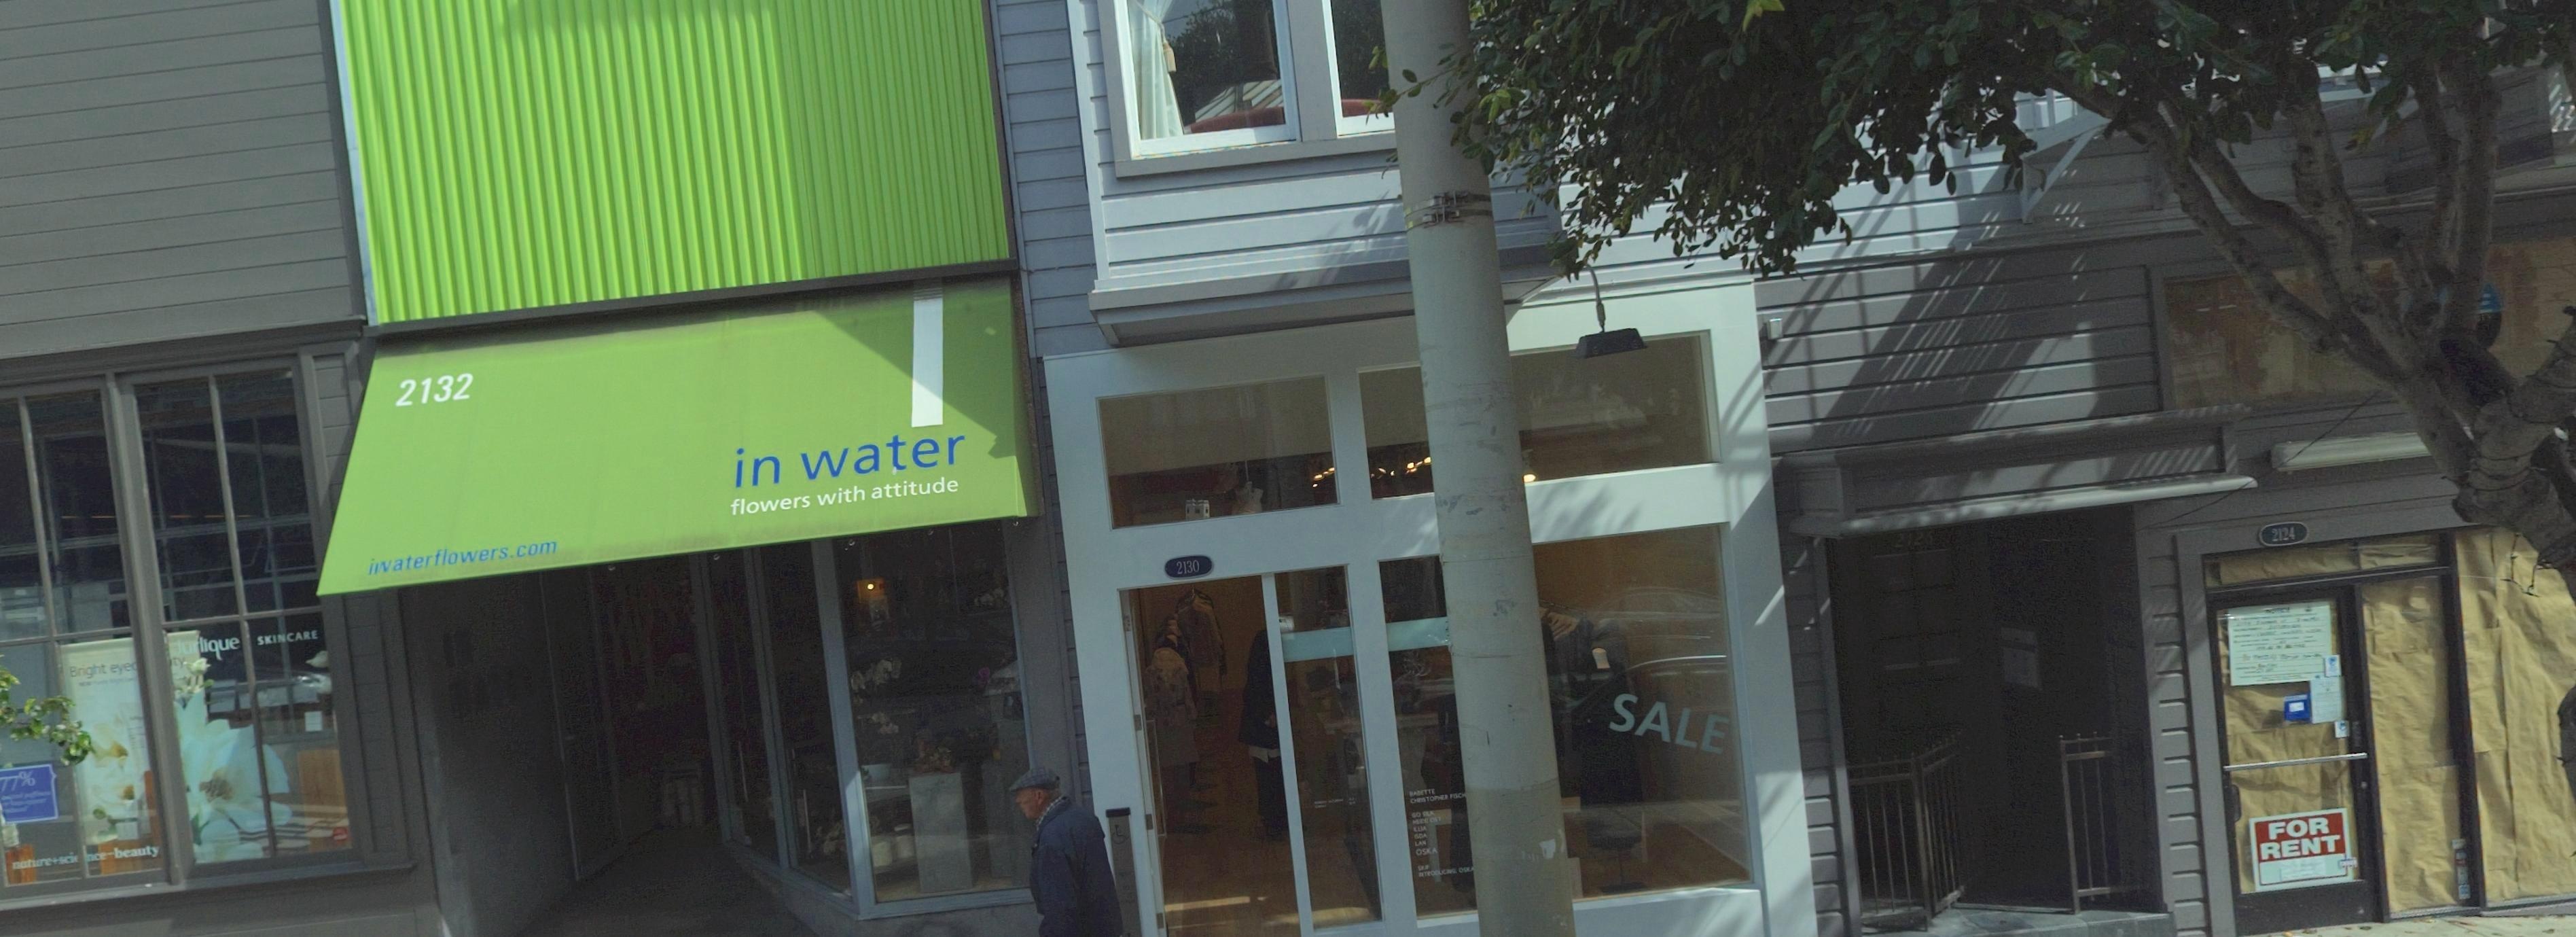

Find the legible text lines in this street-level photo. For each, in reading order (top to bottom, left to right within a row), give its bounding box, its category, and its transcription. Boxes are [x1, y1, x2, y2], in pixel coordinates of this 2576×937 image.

[391, 371, 476, 410] StreetNumber: 2132
[731, 430, 969, 494] BusinessName: in water
[728, 474, 961, 520] None: flowers with attitude
[1891, 526, 1936, 551] StreetNumber: 2126
[2270, 524, 2297, 544] StreetNumber: 2124
[366, 538, 558, 578] None: i**aterflowers.com
[1175, 558, 1201, 577] StreetNumber: 2130
[255, 628, 321, 648] None: SKINCARE
[170, 635, 243, 663] None: Jurlique
[67, 660, 134, 681] BusinessName: Bright eye
[170, 654, 187, 671] BusinessName: ty
[1605, 689, 1733, 759] None: SALE
[1, 773, 21, 794] None: 77
[1407, 786, 1437, 800] None: B***TTE
[1409, 791, 1465, 805] None: C***TO**** F**O
[1410, 810, 1423, 821] None: *O
[9, 841, 162, 874] None: nature+sci**nce-beauty
[1413, 838, 1428, 849] None: LAN
[1412, 831, 1429, 841] None: *DA
[1414, 845, 1440, 859] None: OSKA
[2266, 814, 2331, 843] None: FOR
[2257, 832, 2342, 864] None: RENT